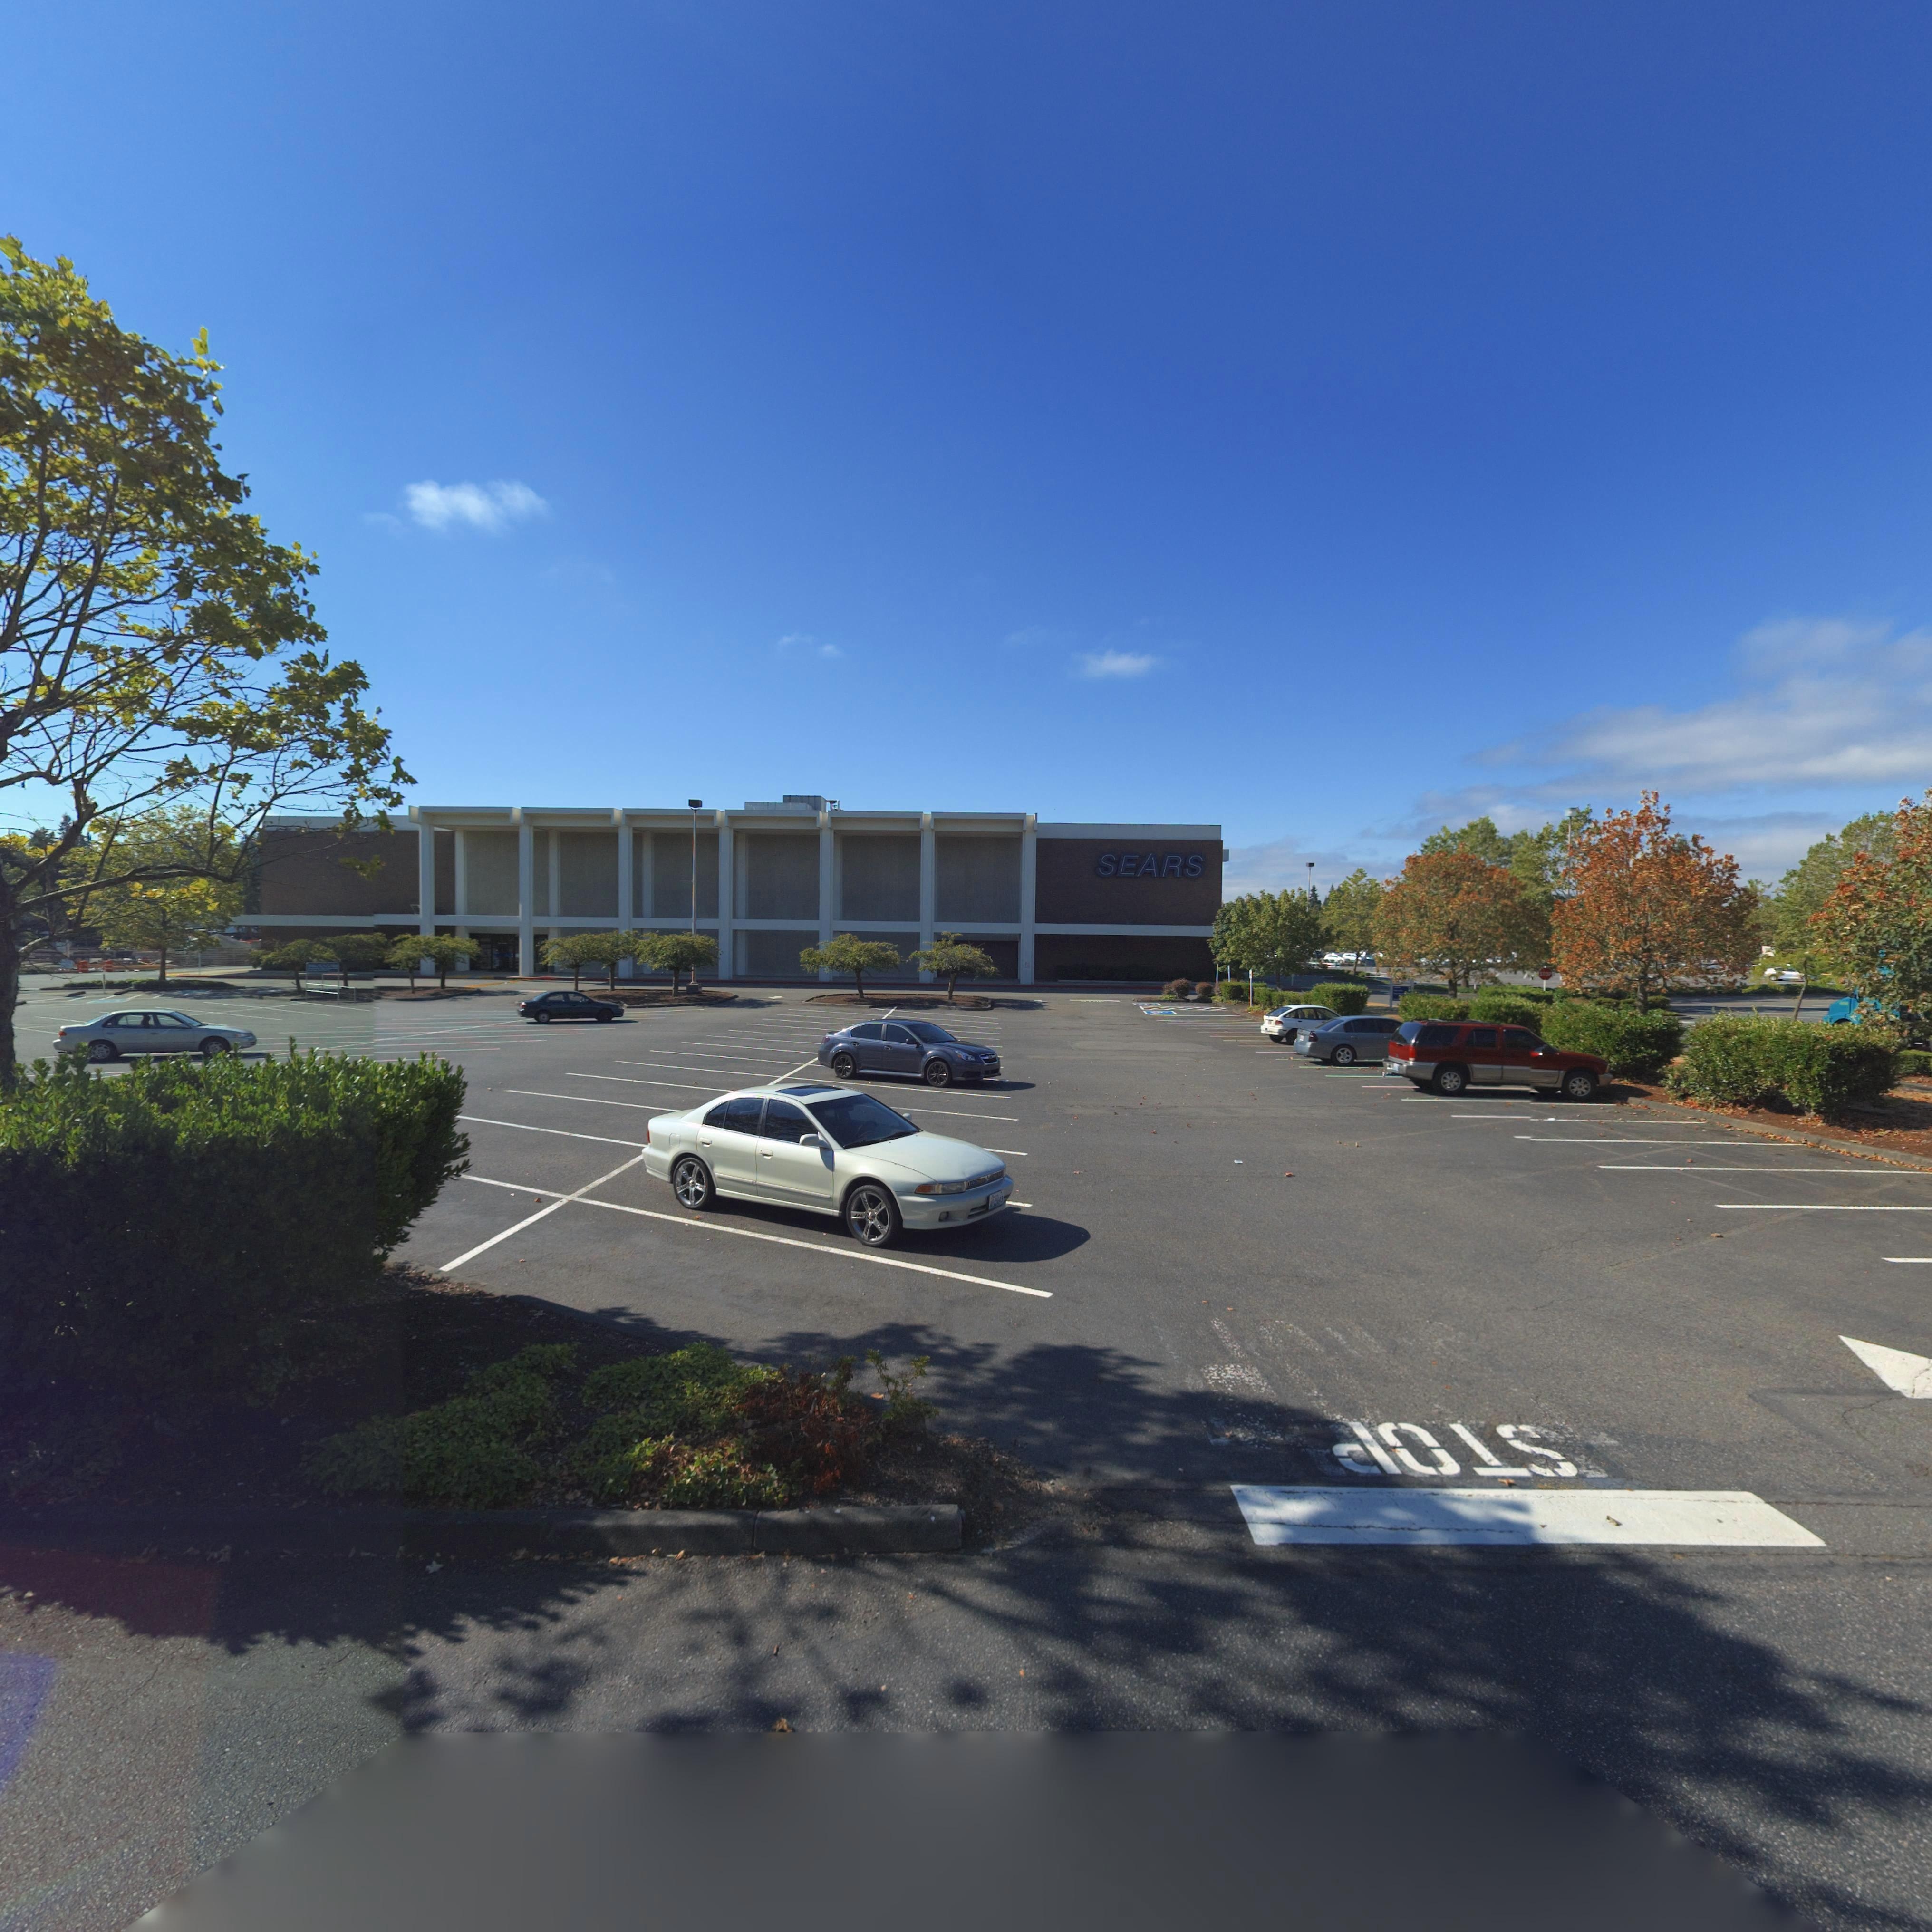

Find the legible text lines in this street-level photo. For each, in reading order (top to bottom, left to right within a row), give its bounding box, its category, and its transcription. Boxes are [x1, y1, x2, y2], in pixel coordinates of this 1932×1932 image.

[1099, 854, 1203, 877] BusinessName: SEARS